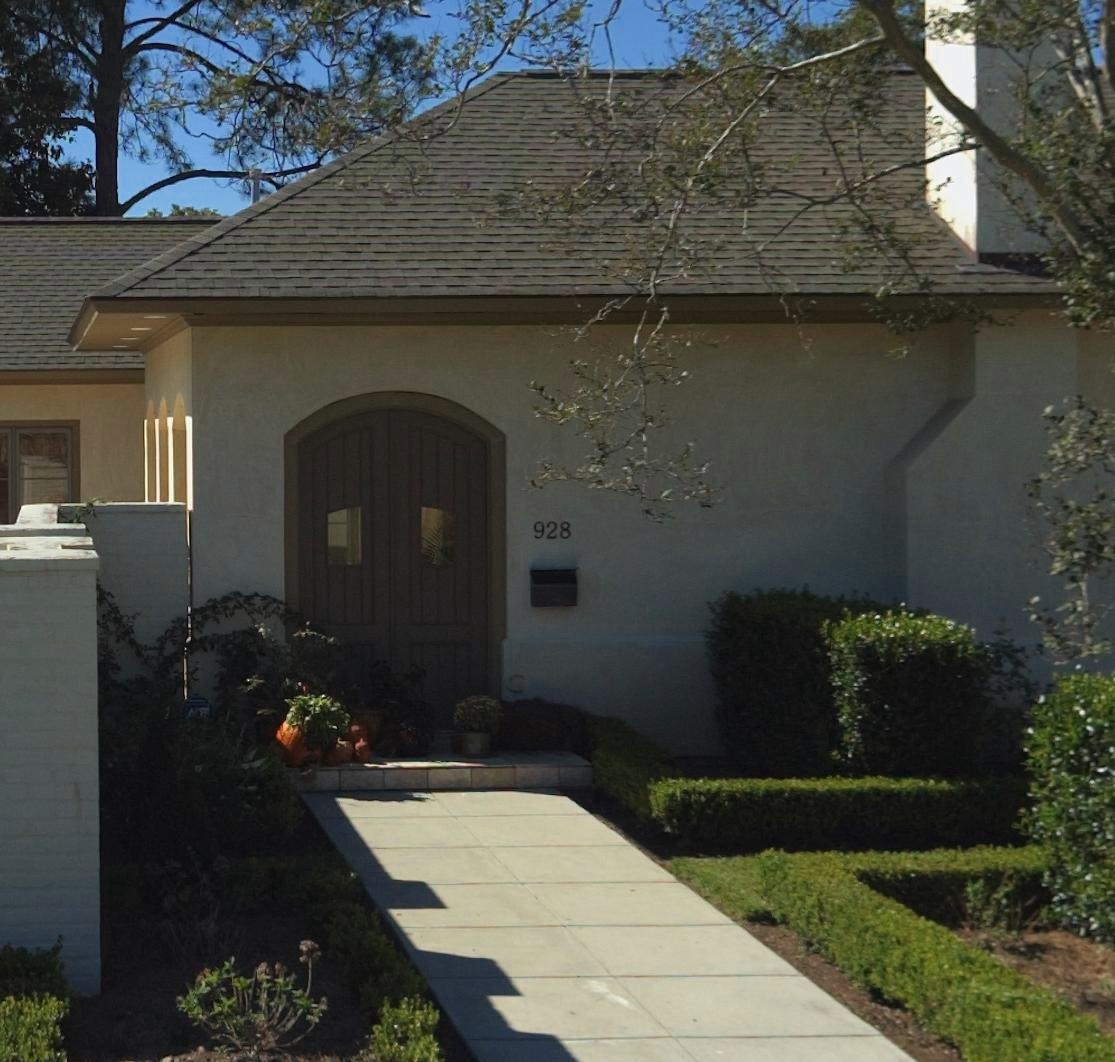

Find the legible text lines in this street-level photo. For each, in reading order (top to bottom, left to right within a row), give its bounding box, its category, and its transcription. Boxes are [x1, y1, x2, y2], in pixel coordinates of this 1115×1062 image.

[532, 518, 573, 541] StreetNumber: 928